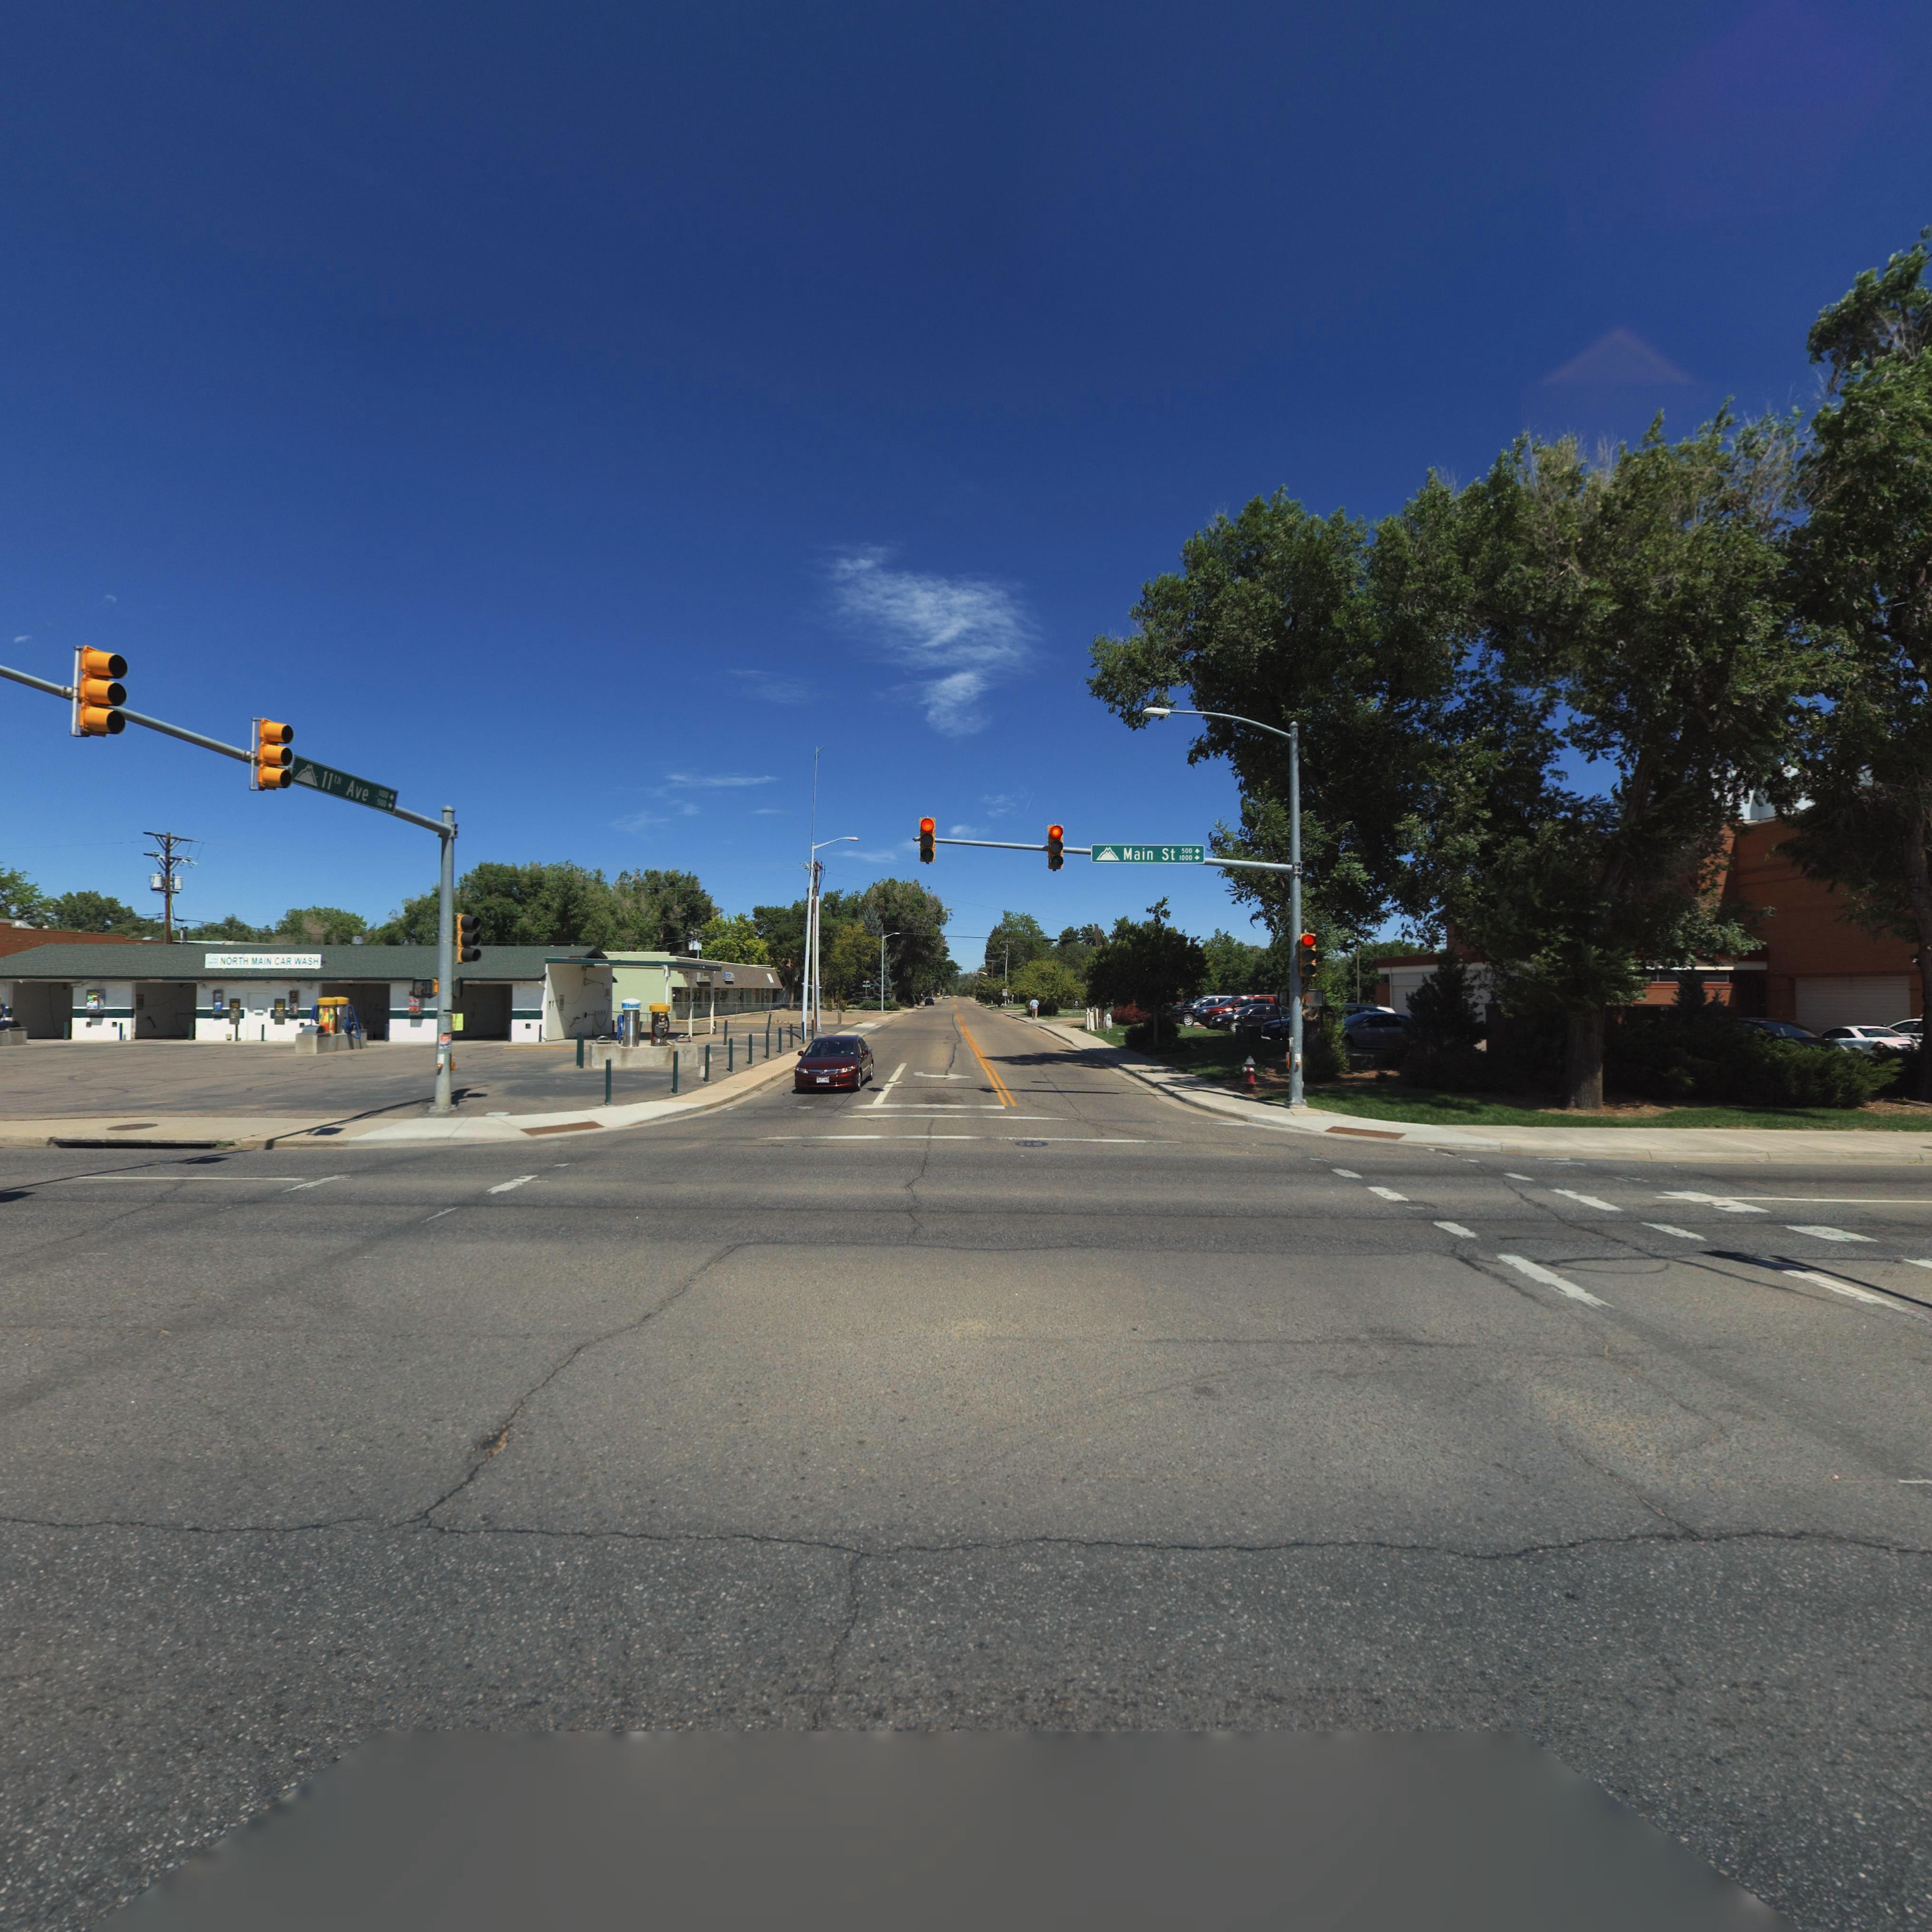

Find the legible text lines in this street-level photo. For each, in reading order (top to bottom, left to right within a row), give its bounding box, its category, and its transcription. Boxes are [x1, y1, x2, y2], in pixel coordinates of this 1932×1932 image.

[320, 769, 369, 802] StreetName: 11th Ave
[378, 789, 389, 799] StreetNumberRange: 1*00
[376, 797, 393, 809] StreetNumberRange: 500 ->
[1123, 847, 1176, 861] StreetName: Main St
[1181, 848, 1192, 853] StreetNumberRange: 500
[1179, 854, 1200, 861] StreetNumberRange: 1000 ->
[220, 956, 319, 965] BusinessName: NORTH MAIN CAR WASH